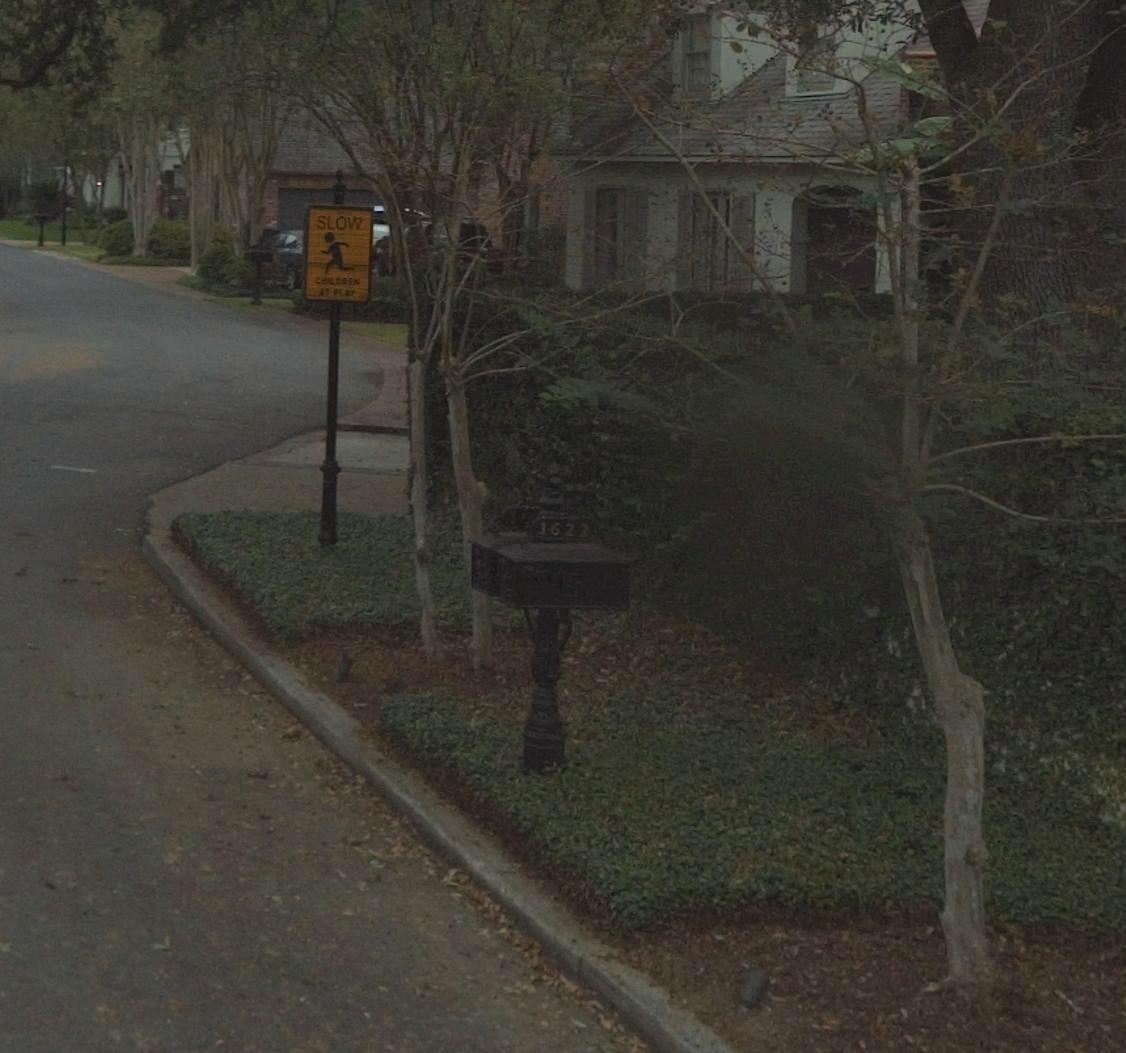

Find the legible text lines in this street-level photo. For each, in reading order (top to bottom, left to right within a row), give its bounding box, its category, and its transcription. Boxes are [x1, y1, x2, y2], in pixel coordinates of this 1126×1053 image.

[316, 214, 364, 230] None: SLOW
[313, 275, 361, 286] None: CHILDREN
[318, 287, 356, 297] None: AT PLAY
[538, 520, 590, 539] StreetNumber: 1622